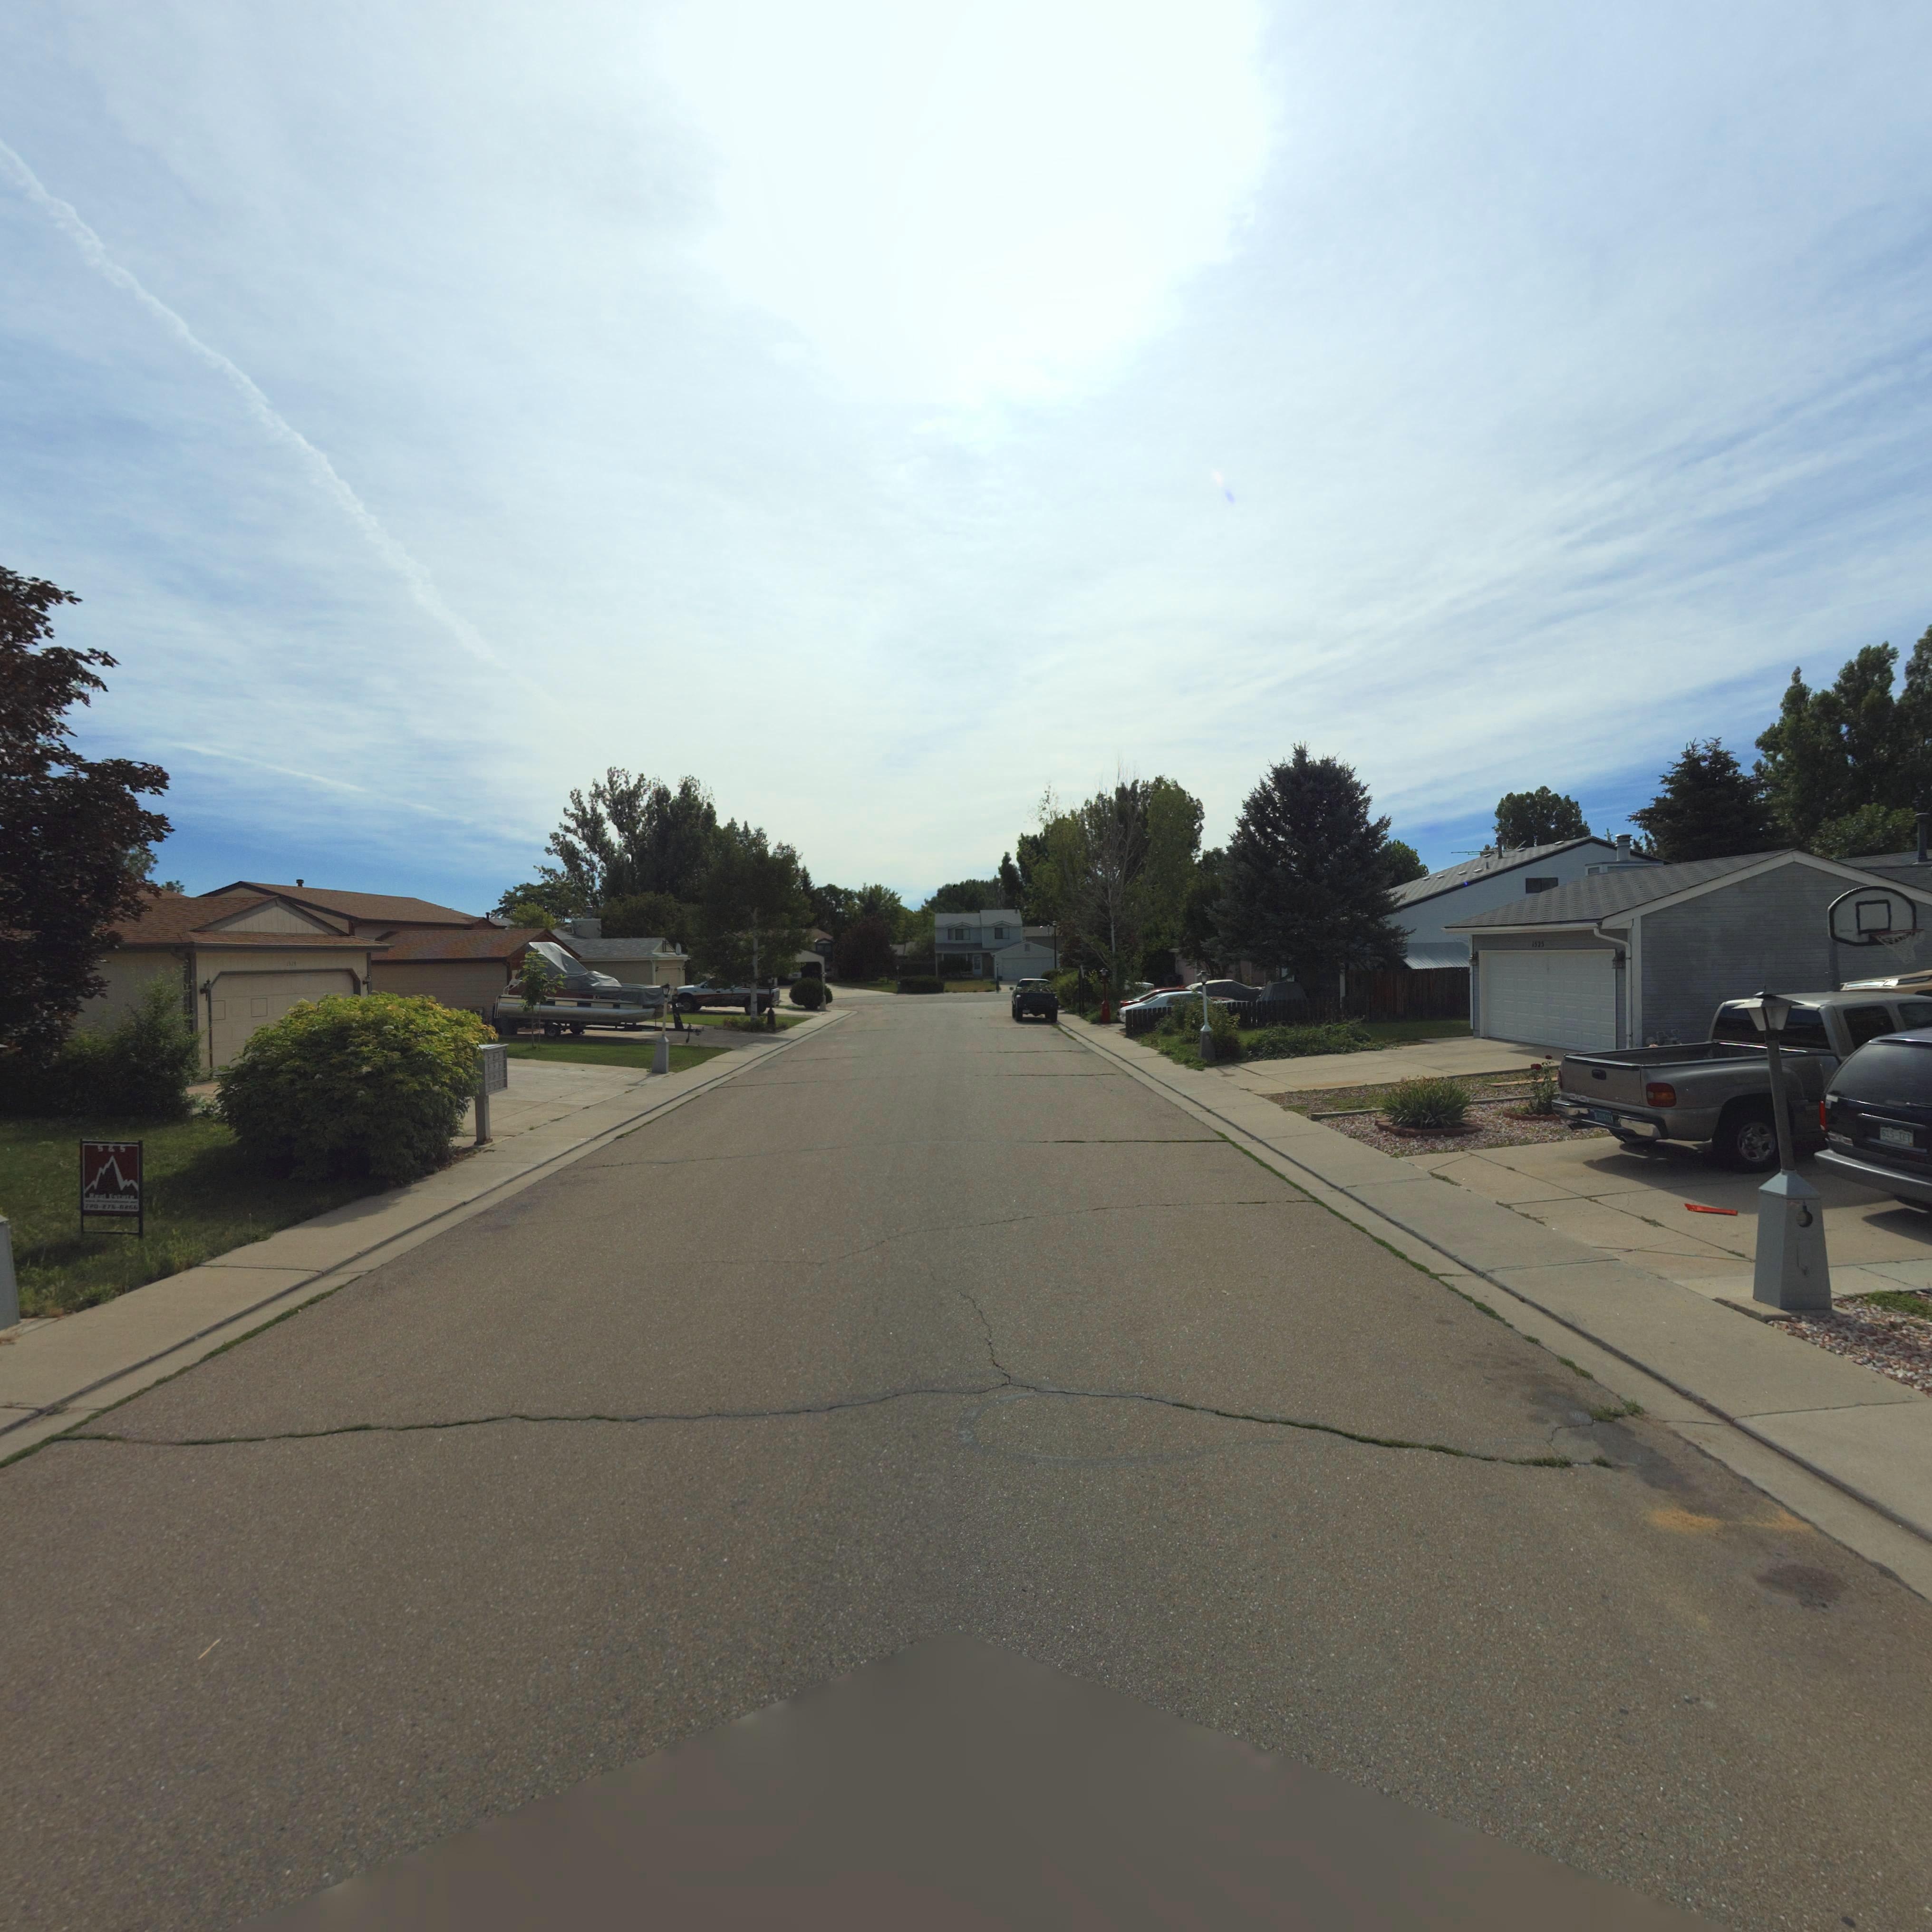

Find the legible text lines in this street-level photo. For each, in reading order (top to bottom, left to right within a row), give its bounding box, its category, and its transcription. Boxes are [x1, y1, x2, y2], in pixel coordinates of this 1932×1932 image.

[1531, 939, 1545, 948] StreetNumber: 152*
[286, 960, 297, 966] StreetNumber: 15**